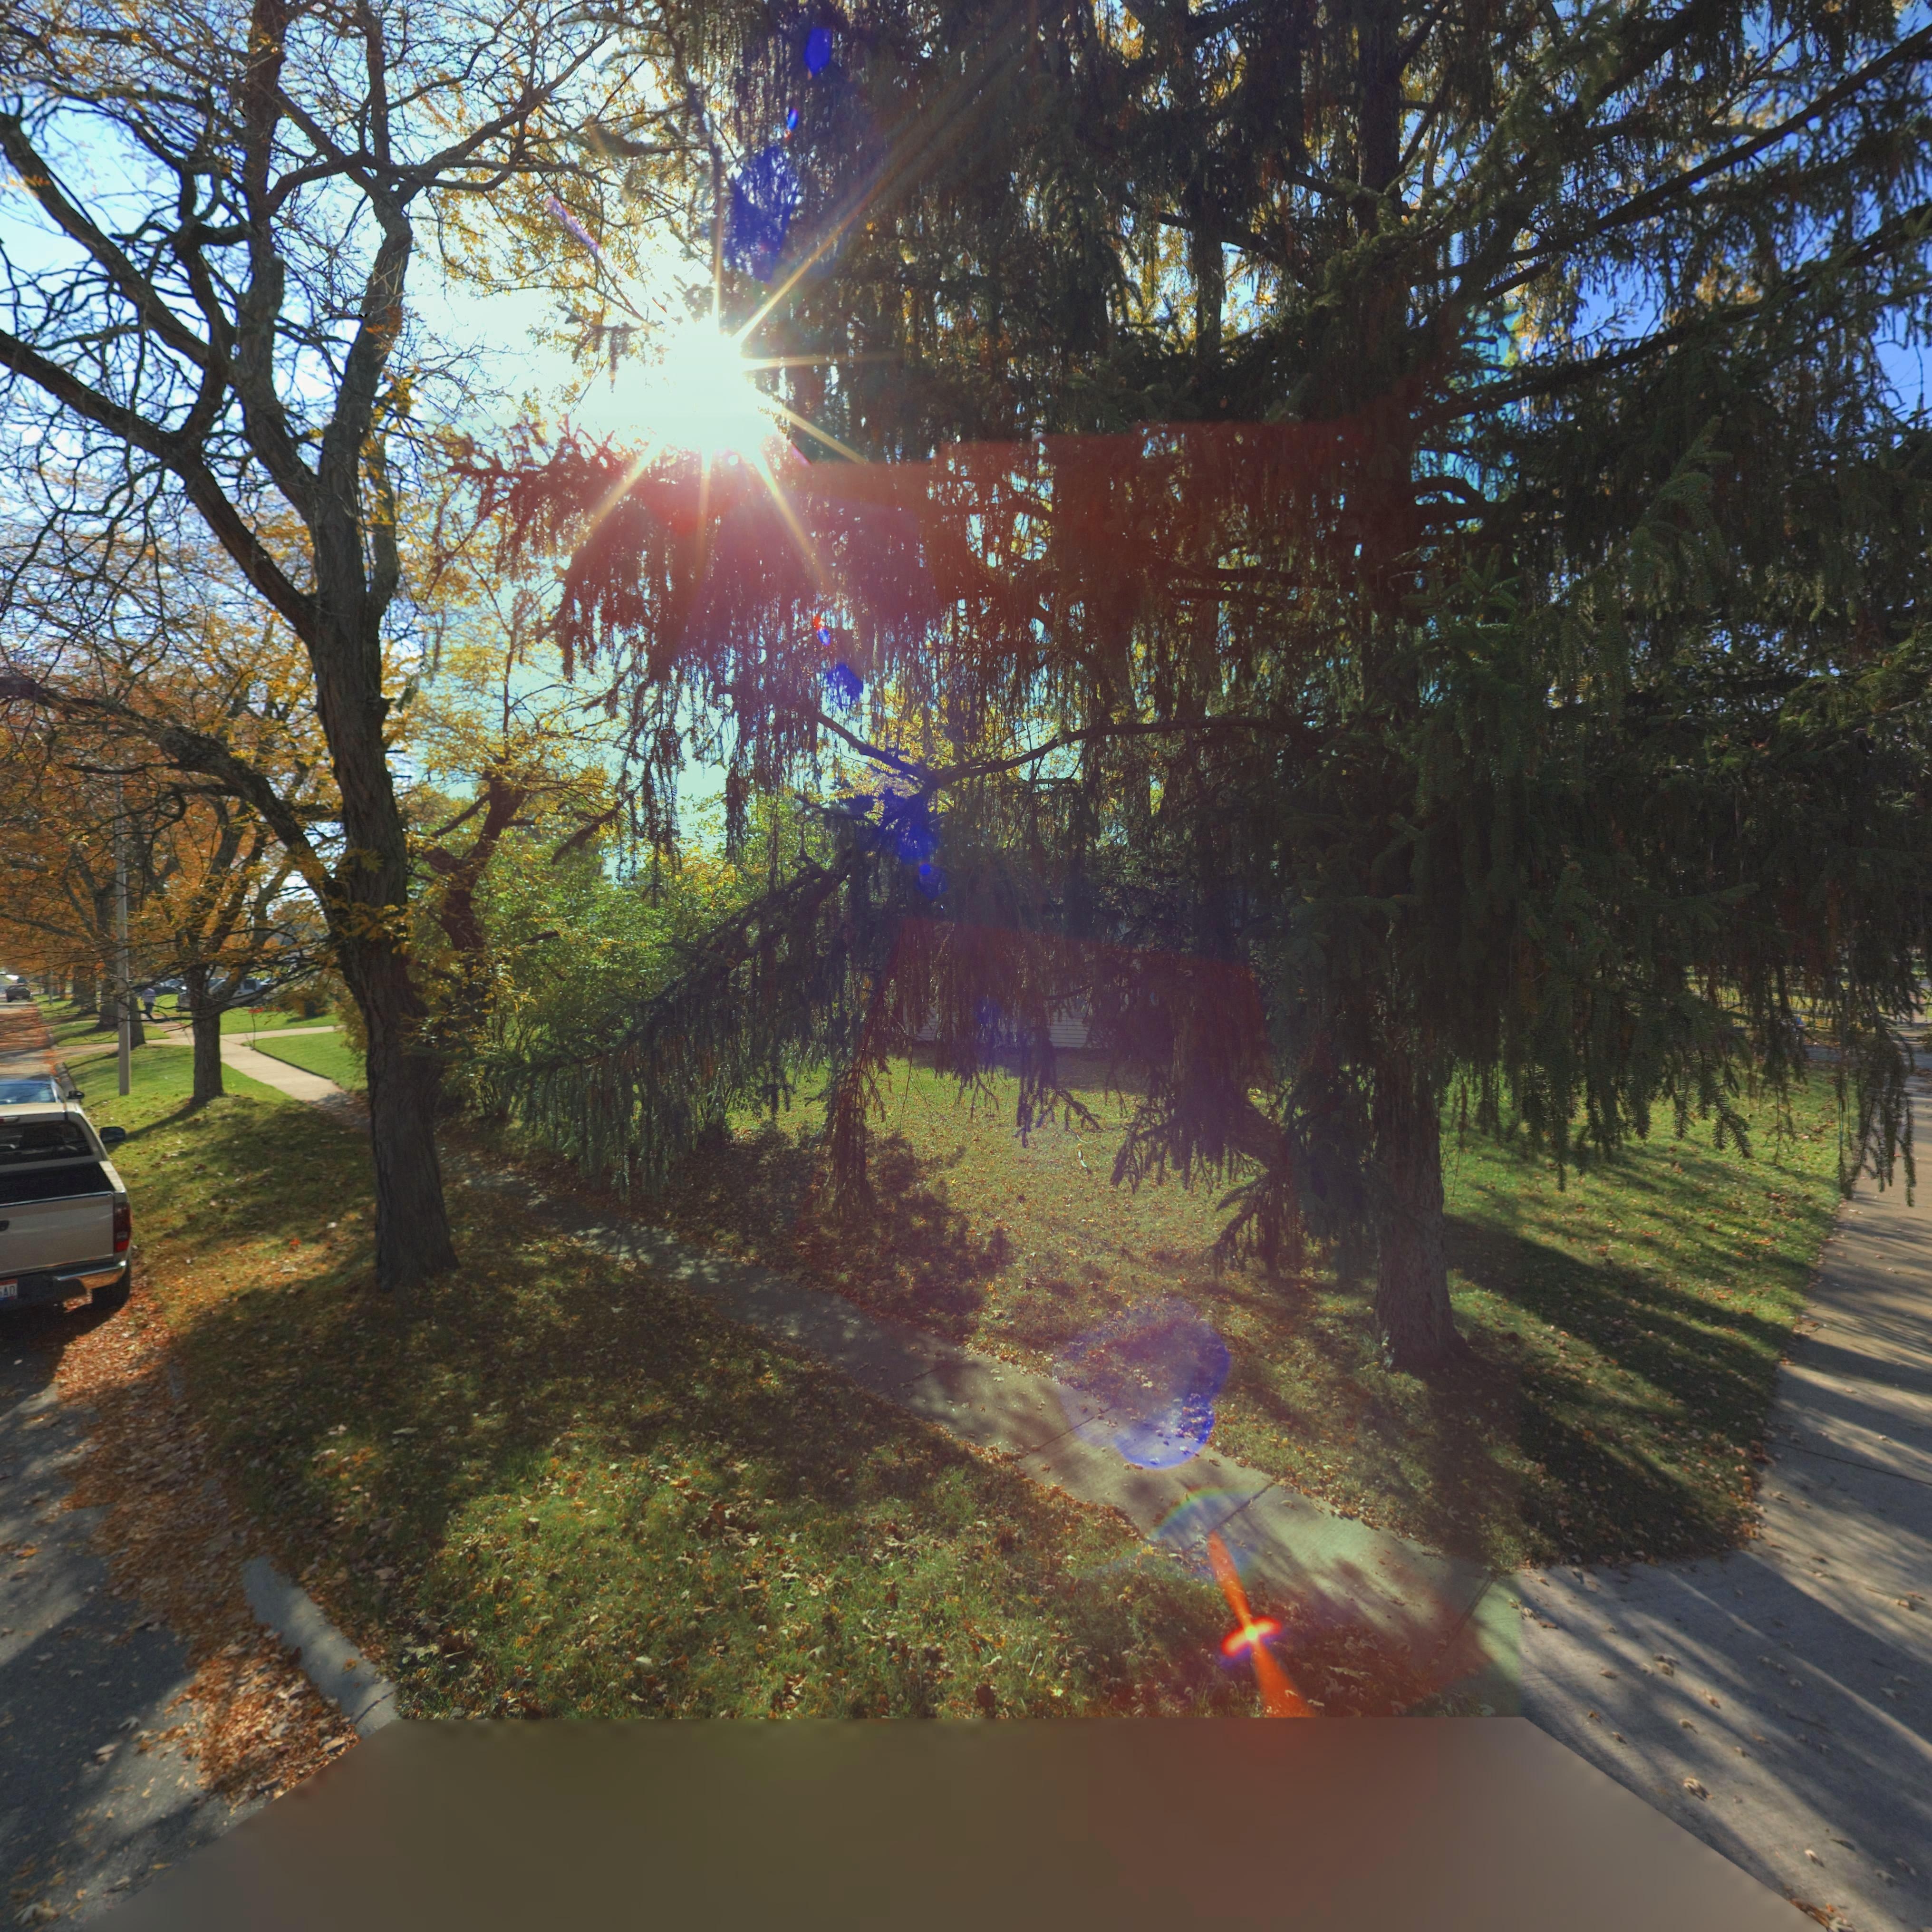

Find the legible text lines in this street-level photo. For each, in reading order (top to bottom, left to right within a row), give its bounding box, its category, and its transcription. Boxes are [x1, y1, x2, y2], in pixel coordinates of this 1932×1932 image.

[3, 1285, 15, 1297] None: 40